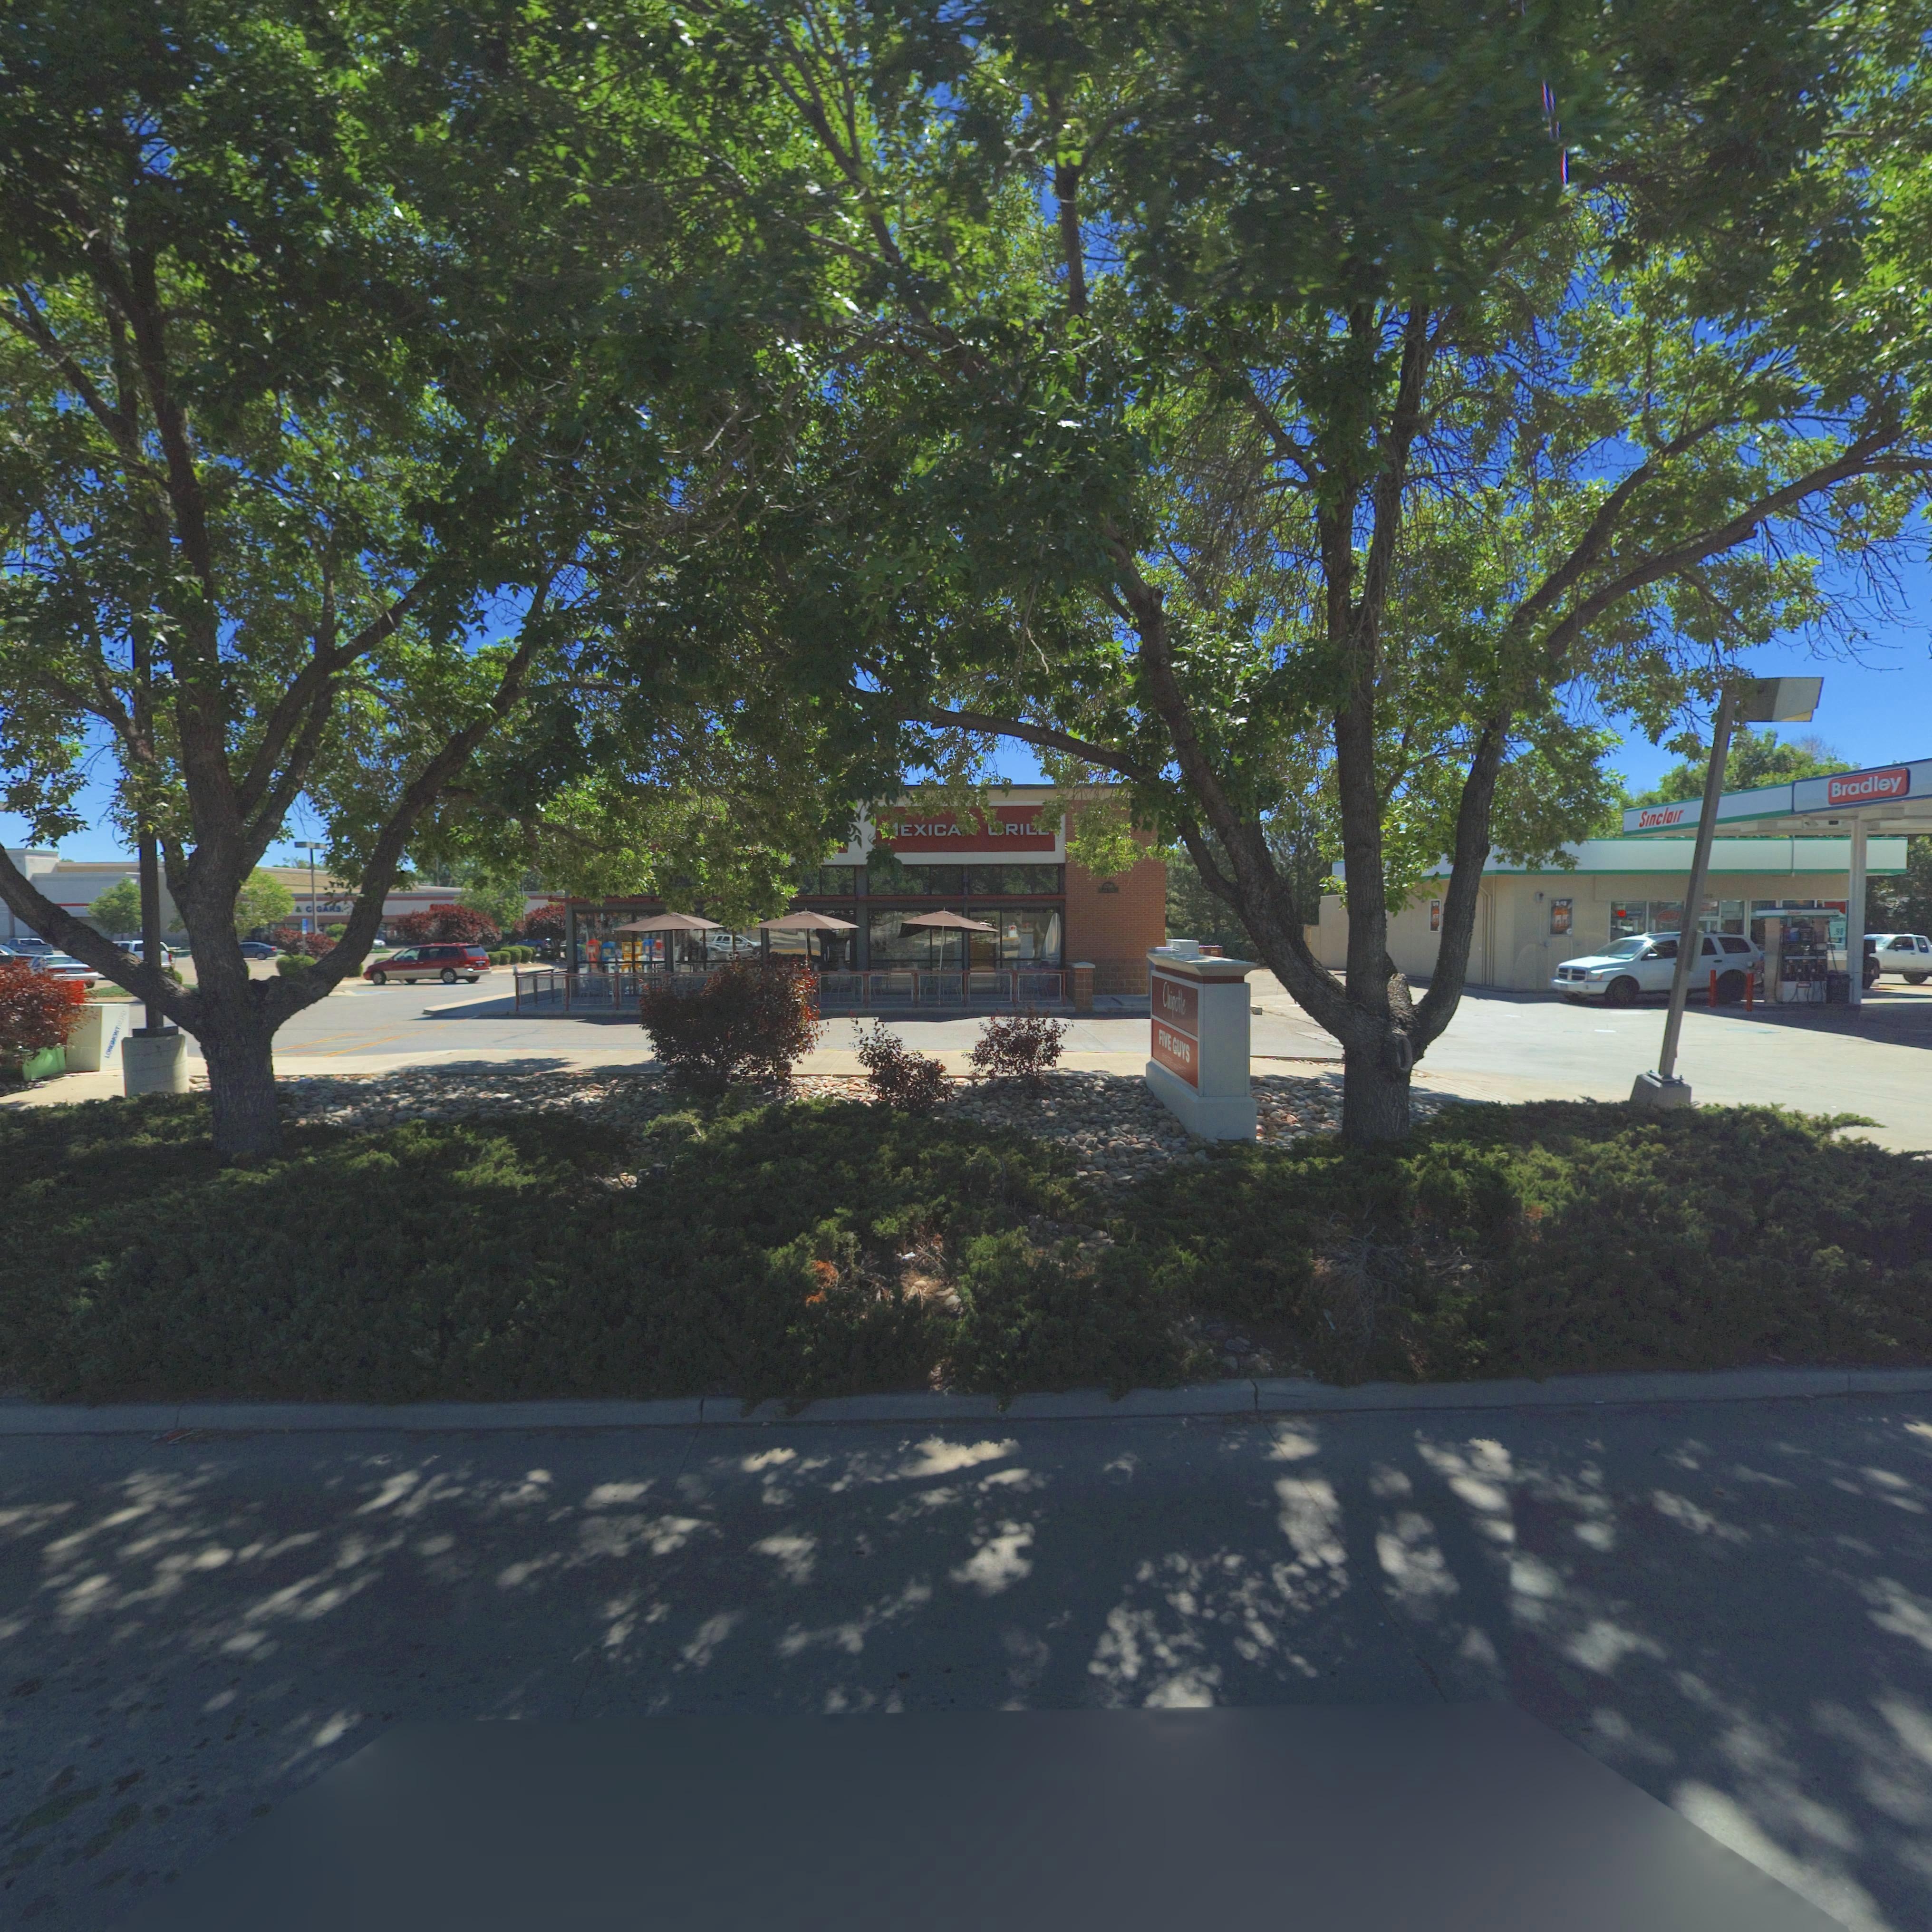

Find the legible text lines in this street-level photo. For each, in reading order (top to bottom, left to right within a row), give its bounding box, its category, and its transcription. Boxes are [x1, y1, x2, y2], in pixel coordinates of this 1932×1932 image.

[1830, 775, 1903, 798] BusinessName: Bradley
[1638, 806, 1684, 827] BusinessName: Sinclair
[883, 821, 1050, 837] BusinessName: *EXICA* *RIL*
[1705, 893, 1713, 898] StreetNumber: 00
[295, 905, 341, 912] BusinessName: & C*GARS
[1787, 910, 1802, 915] BusinessName: S*******
[1162, 980, 1188, 1020] BusinessName: Chipotle
[1158, 1028, 1191, 1063] BusinessName: FIVE GUYS
[1161, 1053, 1187, 1075] BusinessName: B*RG*** and ****S